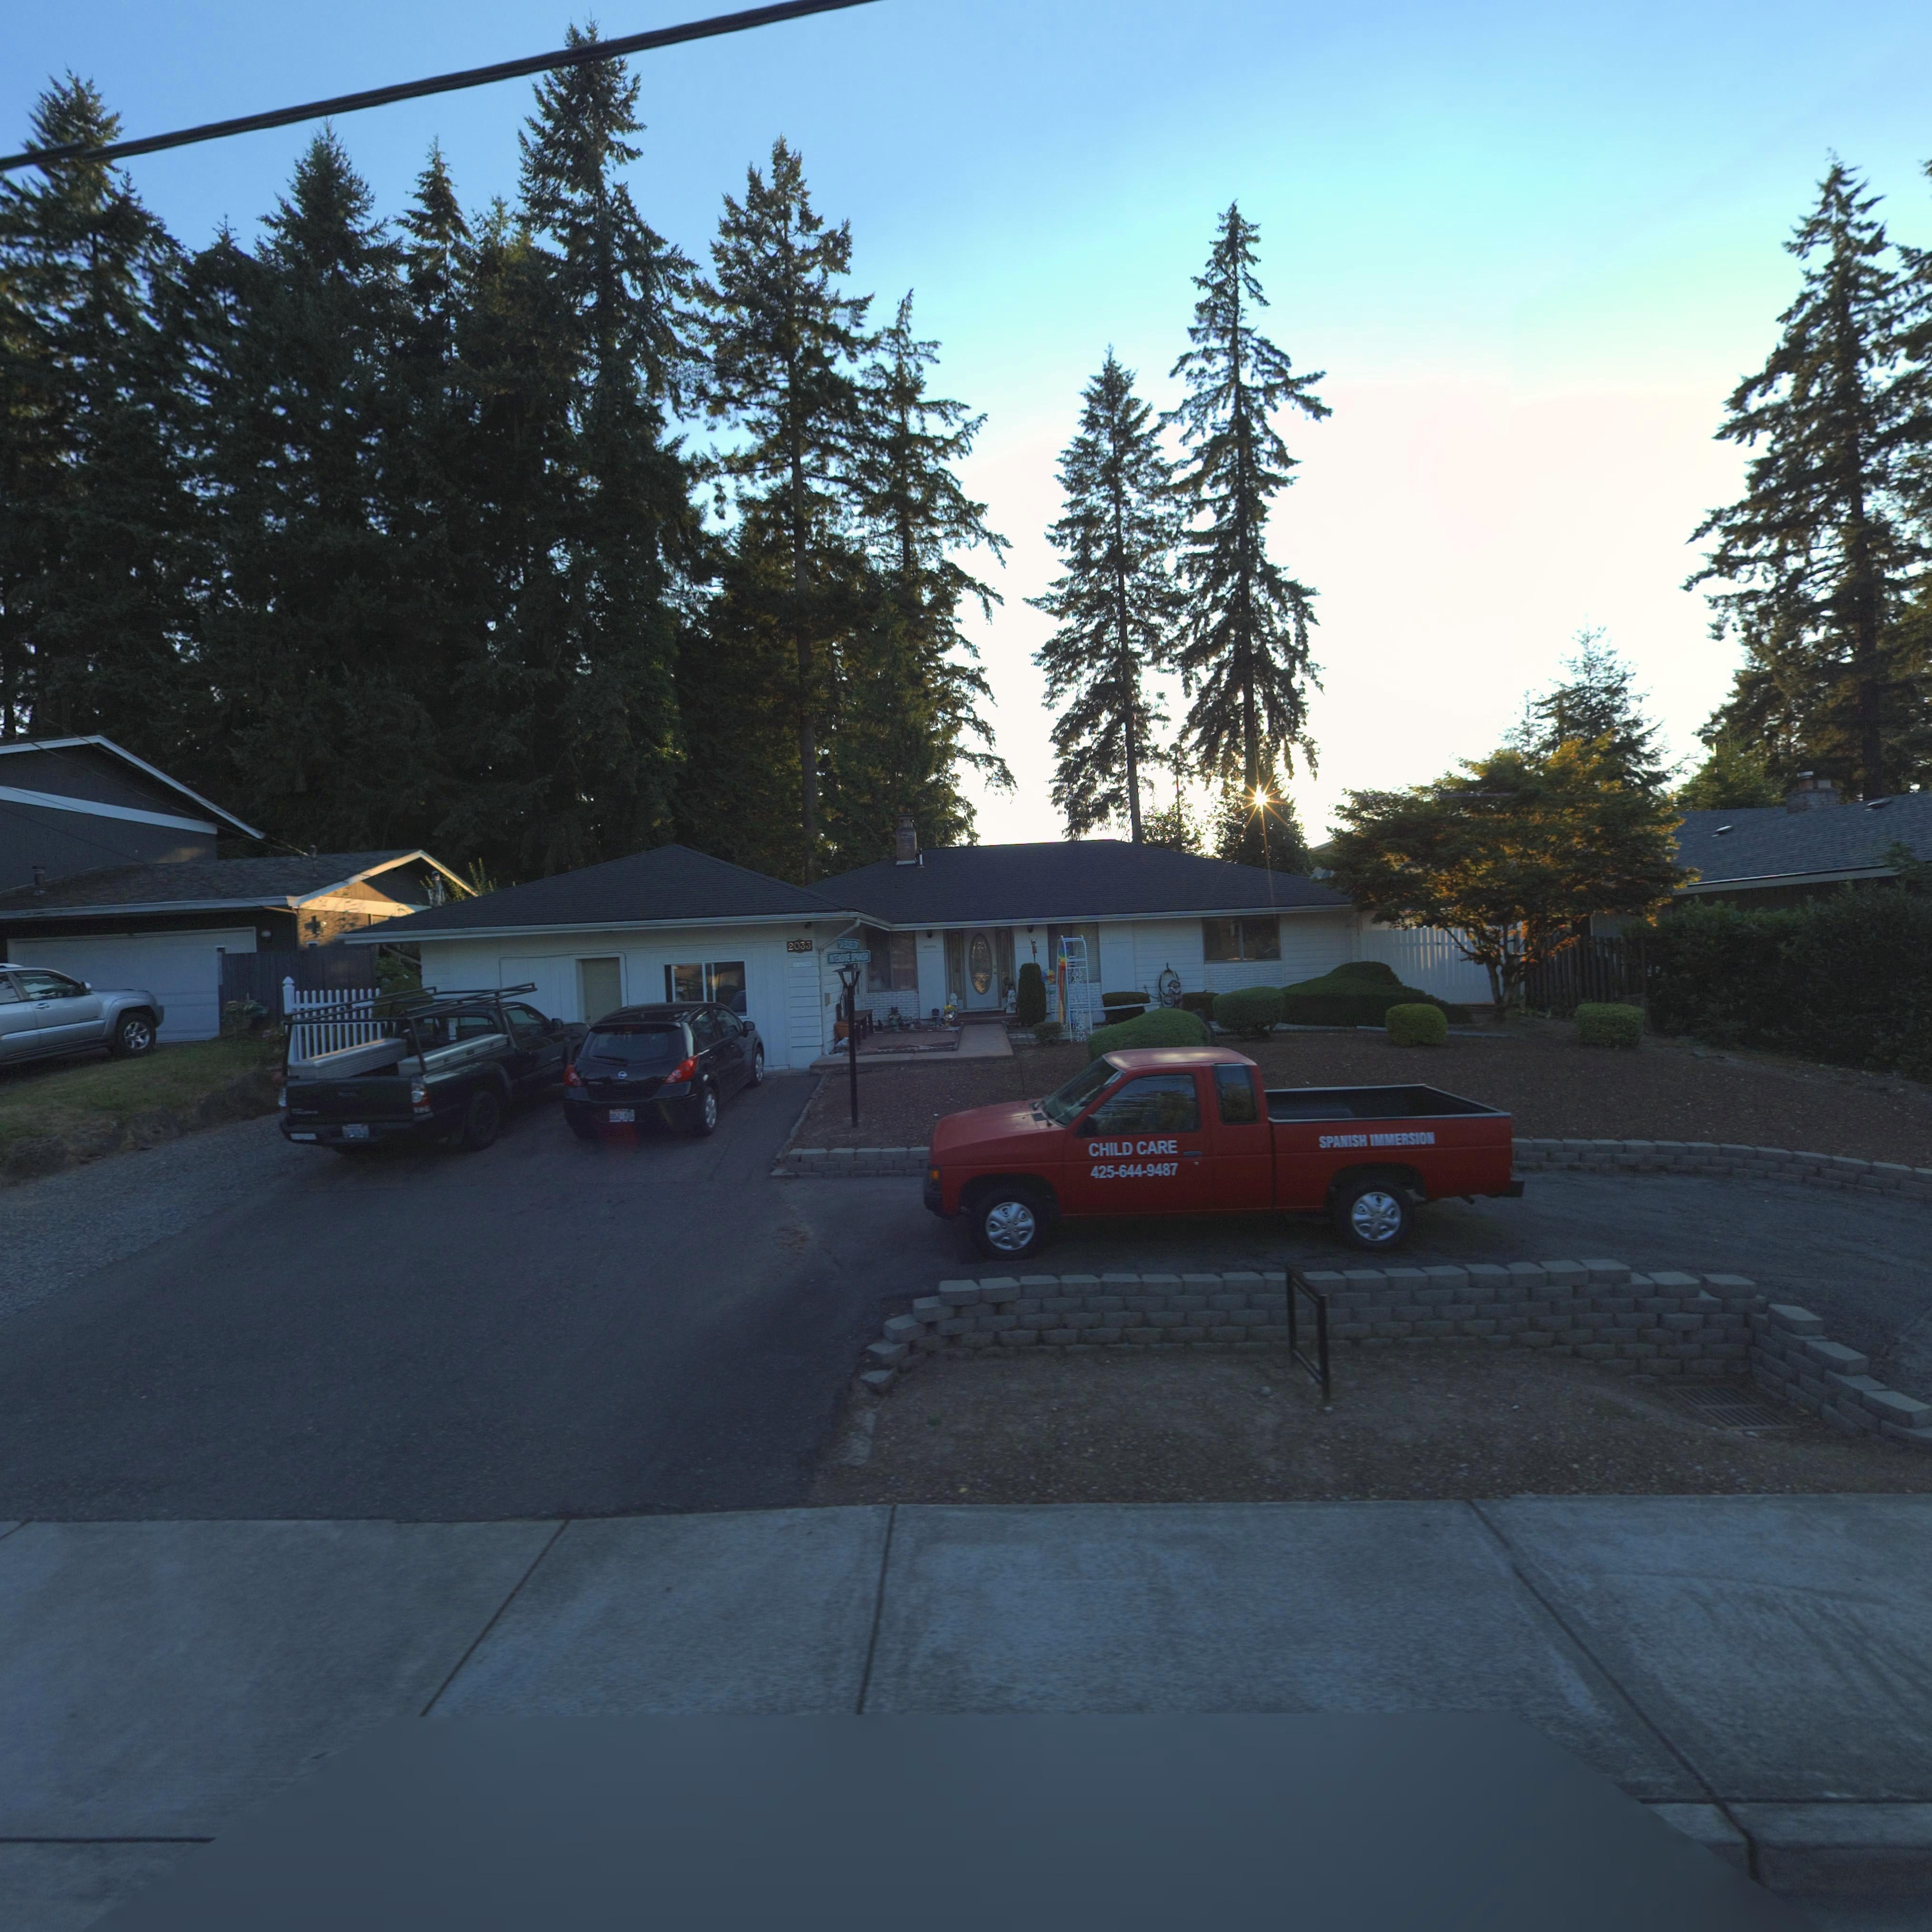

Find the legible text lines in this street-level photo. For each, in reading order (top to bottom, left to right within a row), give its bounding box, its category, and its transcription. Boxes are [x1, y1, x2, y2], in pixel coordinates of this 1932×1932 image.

[786, 941, 812, 949] StreetNumber: 2033
[829, 951, 869, 963] BusinessName: INTENSIVE SPANISH